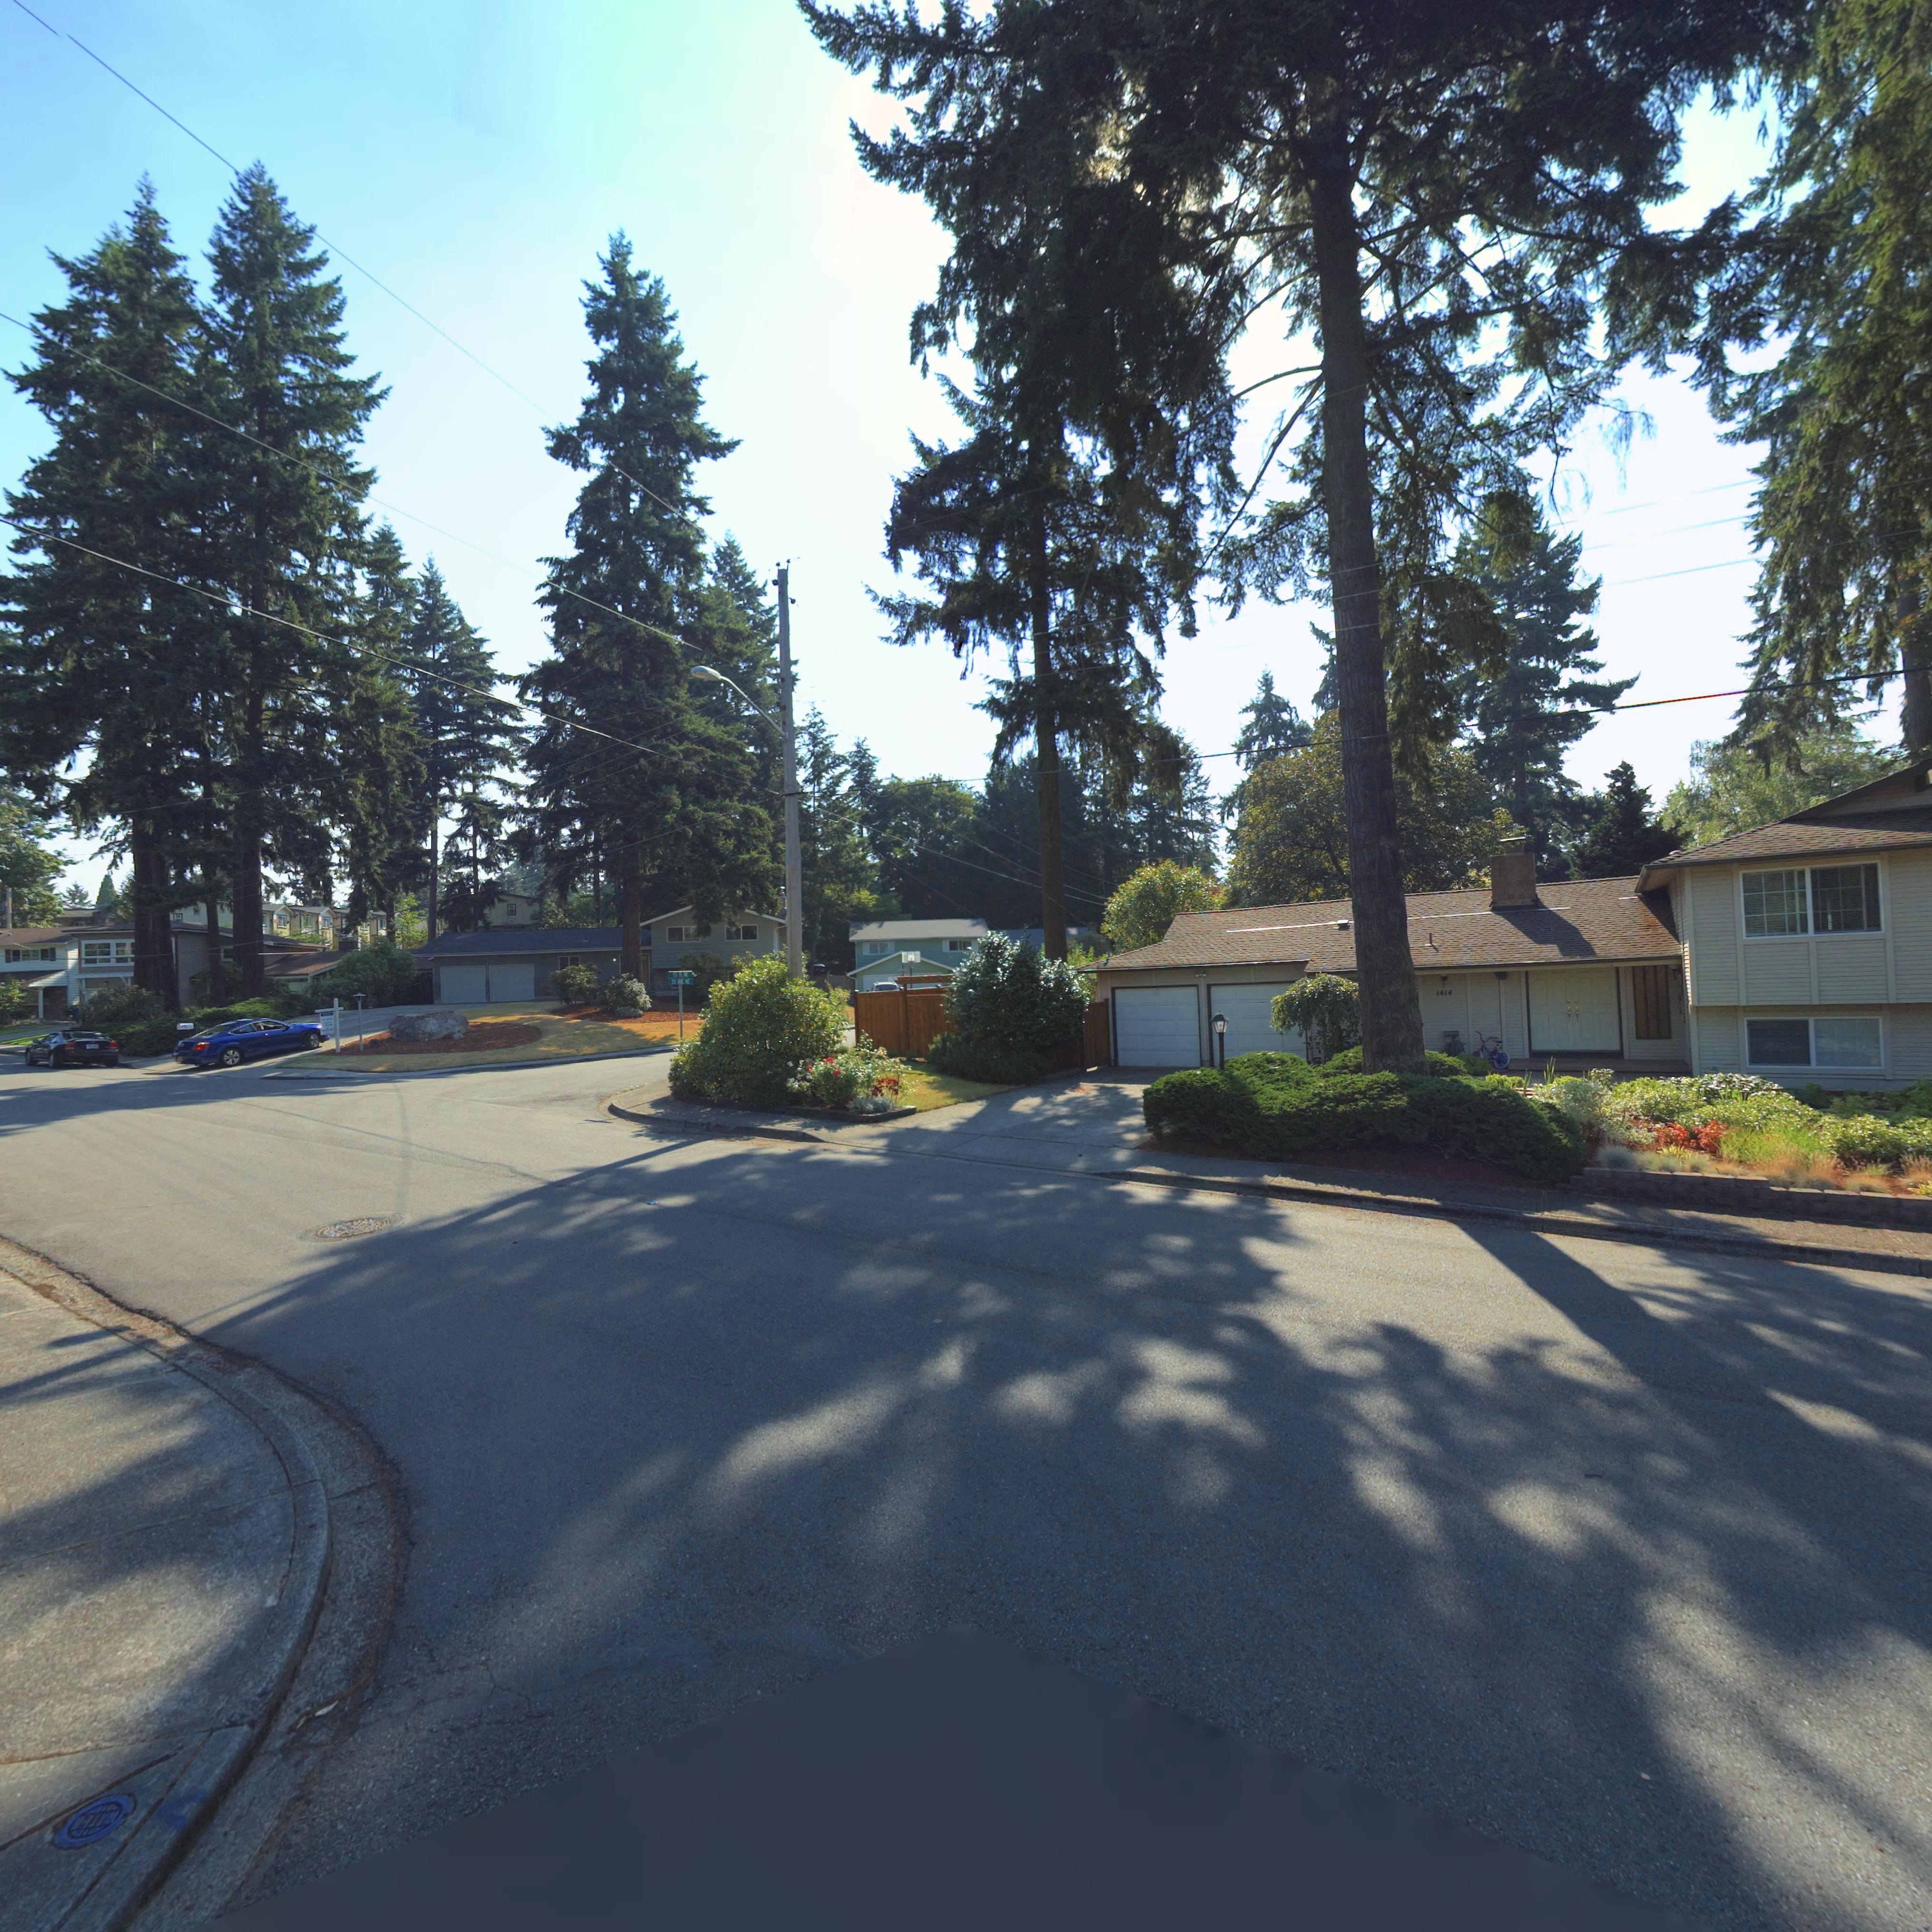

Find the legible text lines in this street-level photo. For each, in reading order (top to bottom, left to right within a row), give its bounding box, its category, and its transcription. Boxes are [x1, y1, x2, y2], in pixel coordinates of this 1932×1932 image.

[671, 978, 691, 985] StreetName: 151 AVE NE
[1436, 989, 1452, 996] StreetNumber: 1414